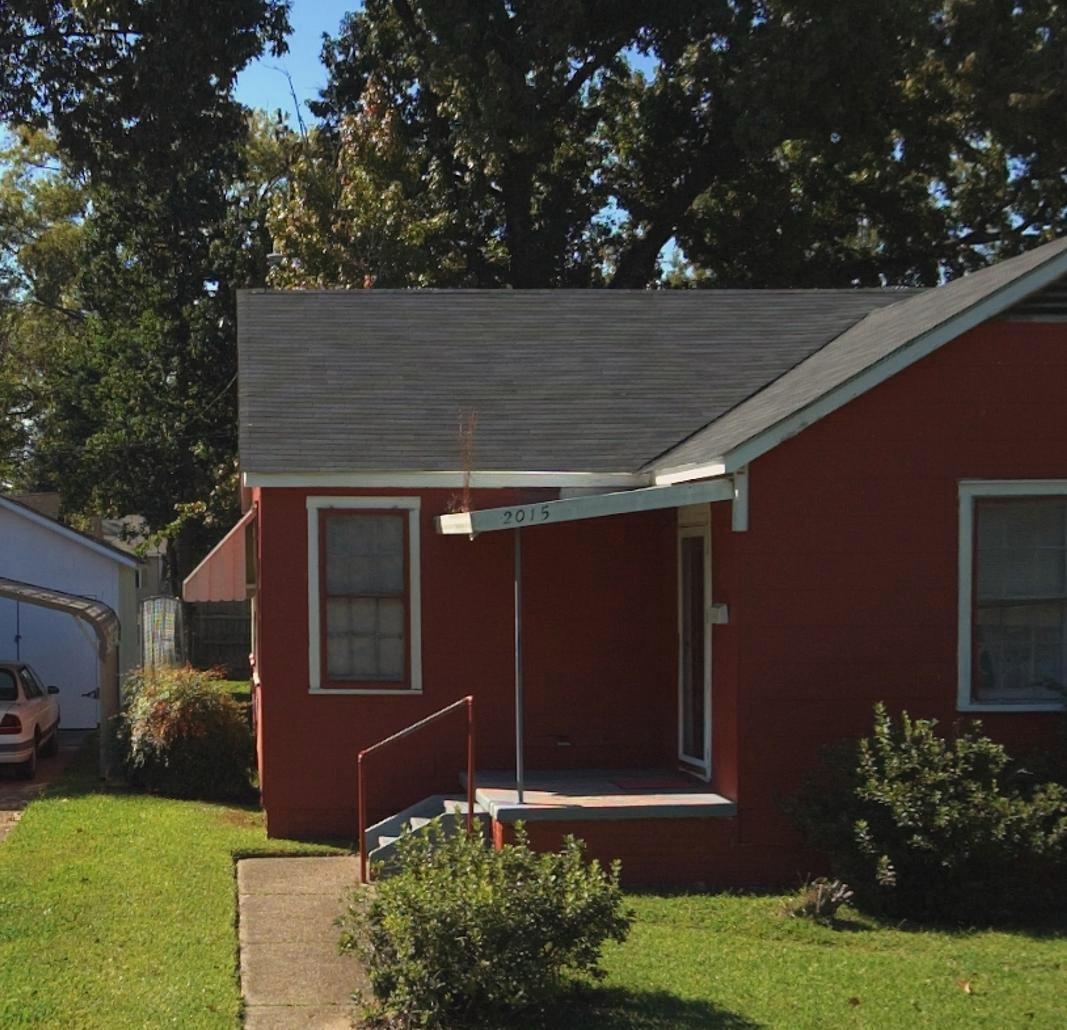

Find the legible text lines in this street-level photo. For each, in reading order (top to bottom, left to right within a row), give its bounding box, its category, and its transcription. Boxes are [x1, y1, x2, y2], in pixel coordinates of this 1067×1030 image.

[501, 503, 551, 526] StreetNumber: 2015